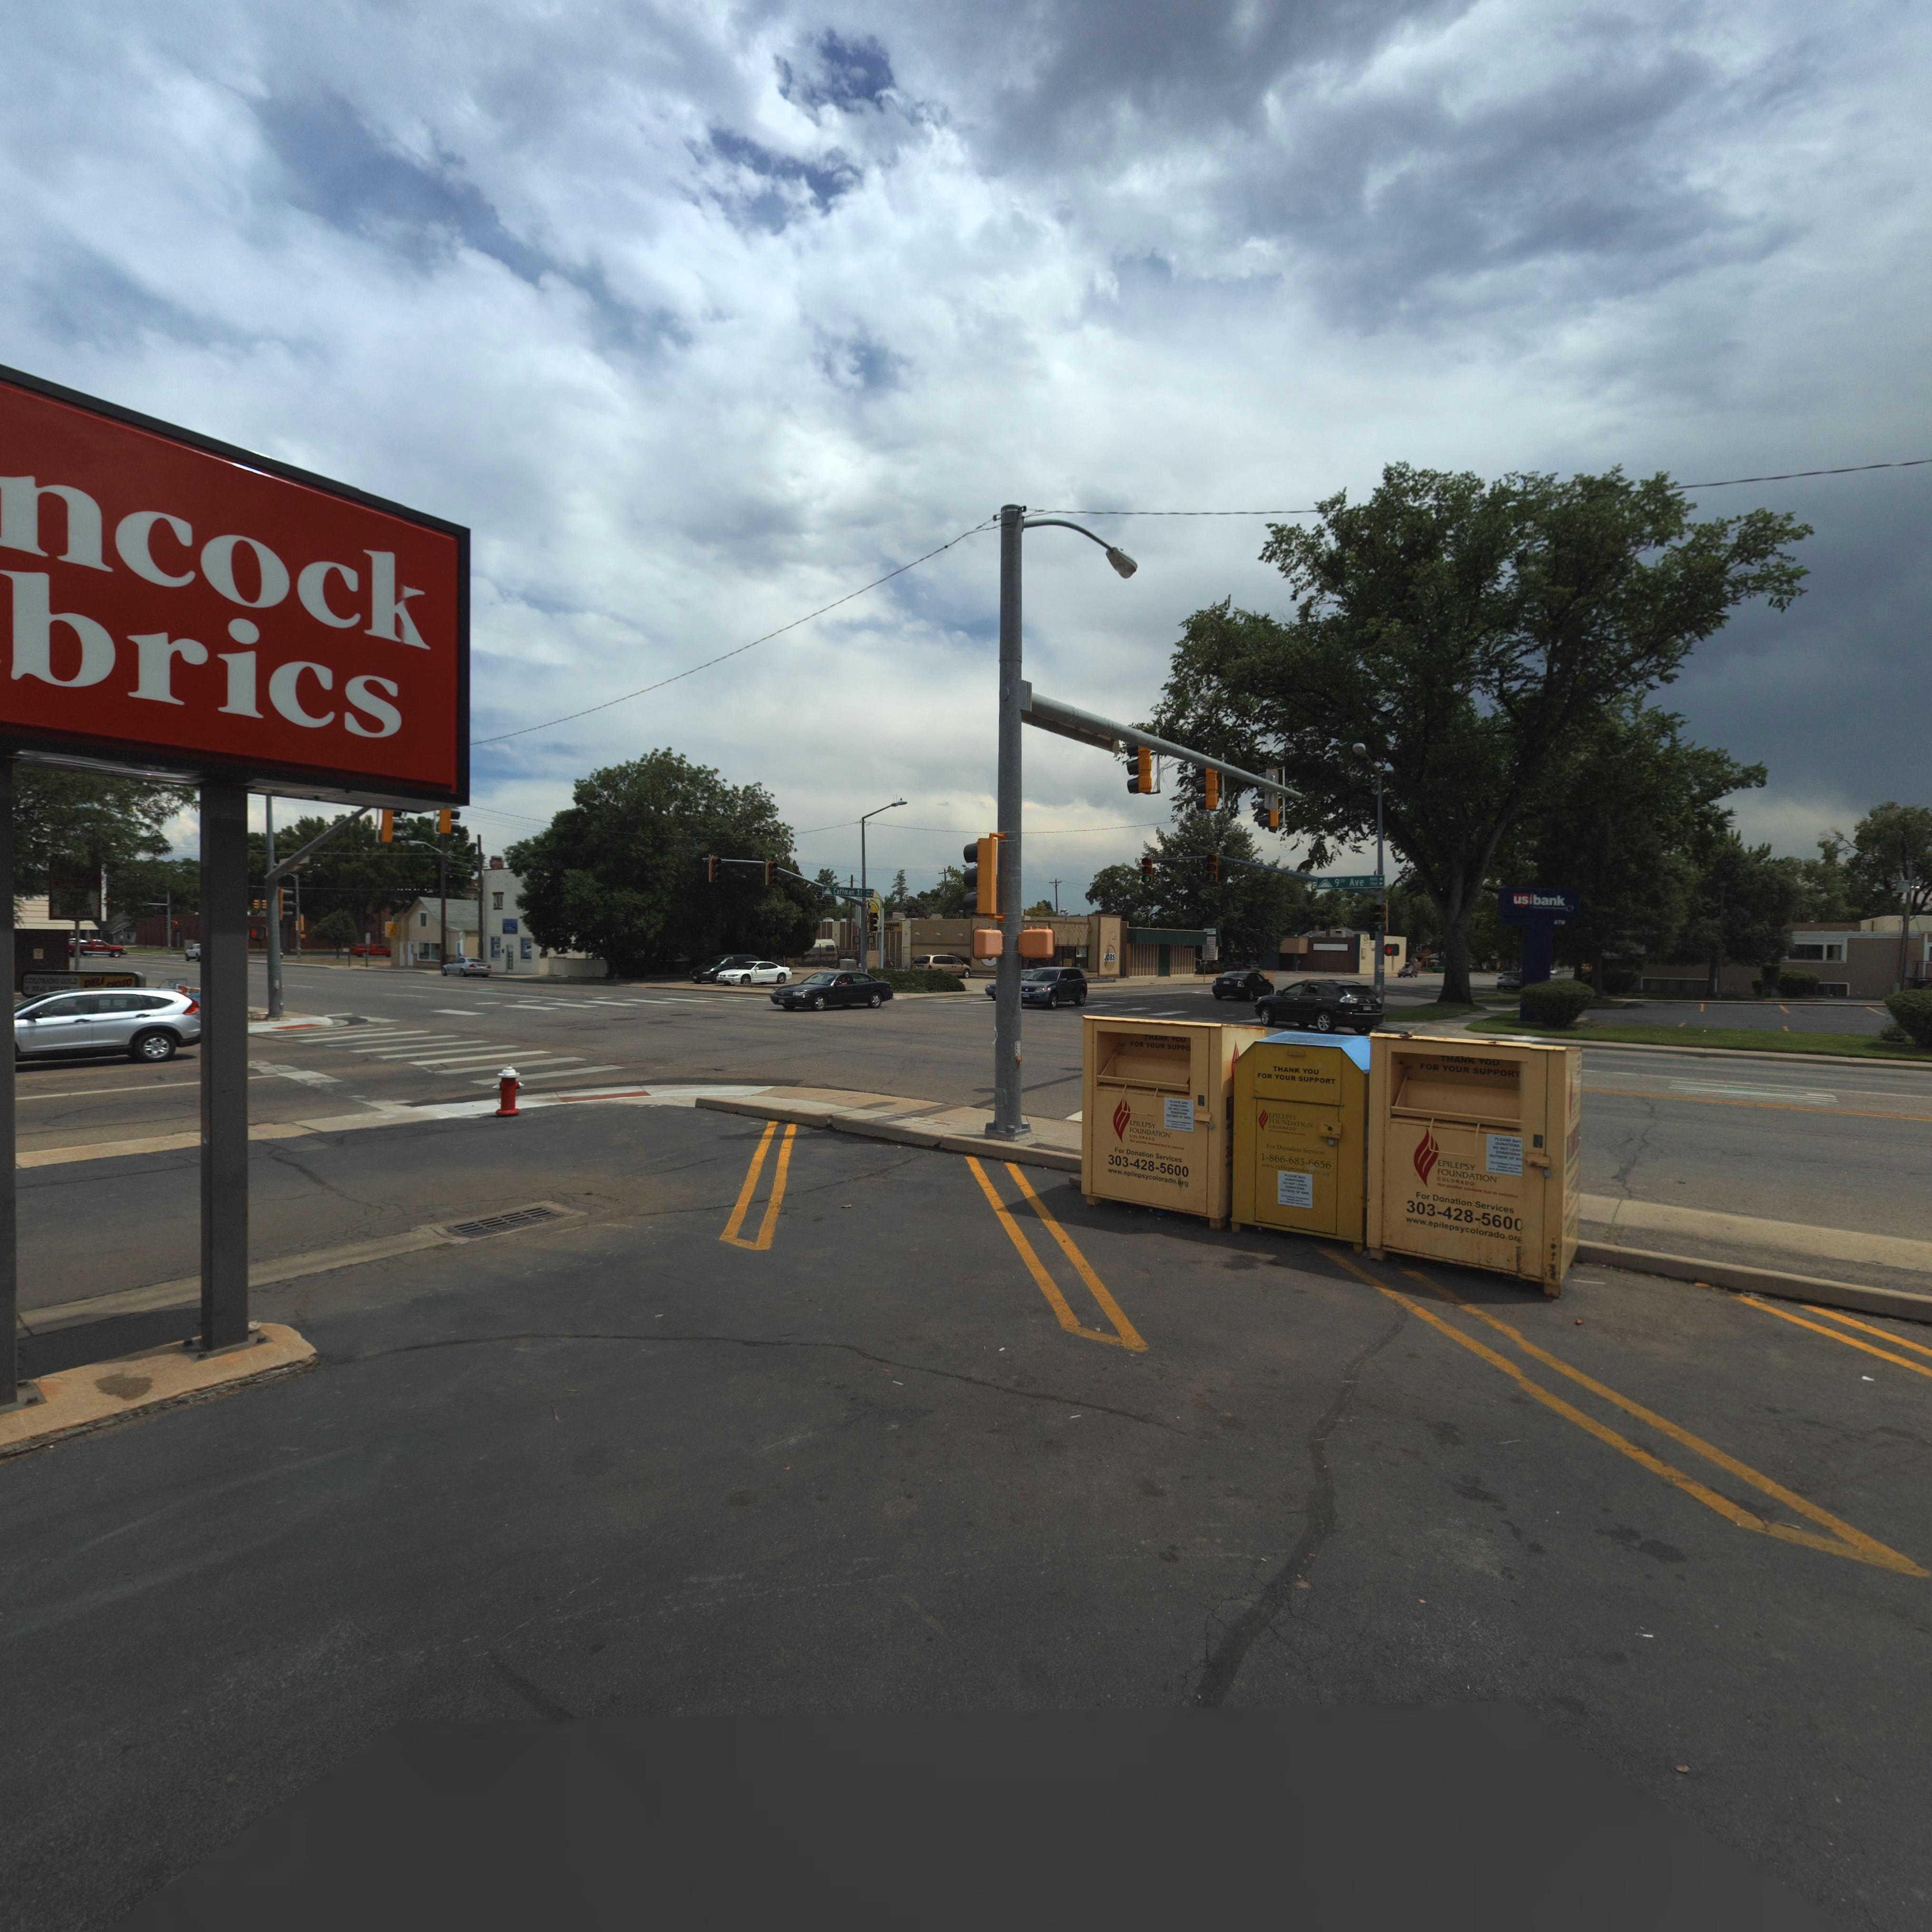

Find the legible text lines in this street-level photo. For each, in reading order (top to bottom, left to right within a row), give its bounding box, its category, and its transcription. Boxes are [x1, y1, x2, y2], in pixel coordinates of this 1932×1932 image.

[1, 473, 435, 654] BusinessName: ncock
[1, 568, 405, 742] BusinessName: brics
[1334, 878, 1365, 887] StreetName: 9th Ave
[1369, 877, 1378, 881] StreetNumberRange: *00
[1369, 881, 1383, 886] StreetNumberRange: *00->
[833, 887, 862, 896] StreetName: Co**man S*
[1513, 894, 1566, 907] BusinessName: us*bank
[23, 977, 78, 985] BusinessName: CO*O*ADO GOLD
[82, 976, 106, 990] BusinessName: DELI
[105, 977, 133, 990] BusinessName: **OSO
[31, 985, 71, 993] BusinessName: *EAL E*****